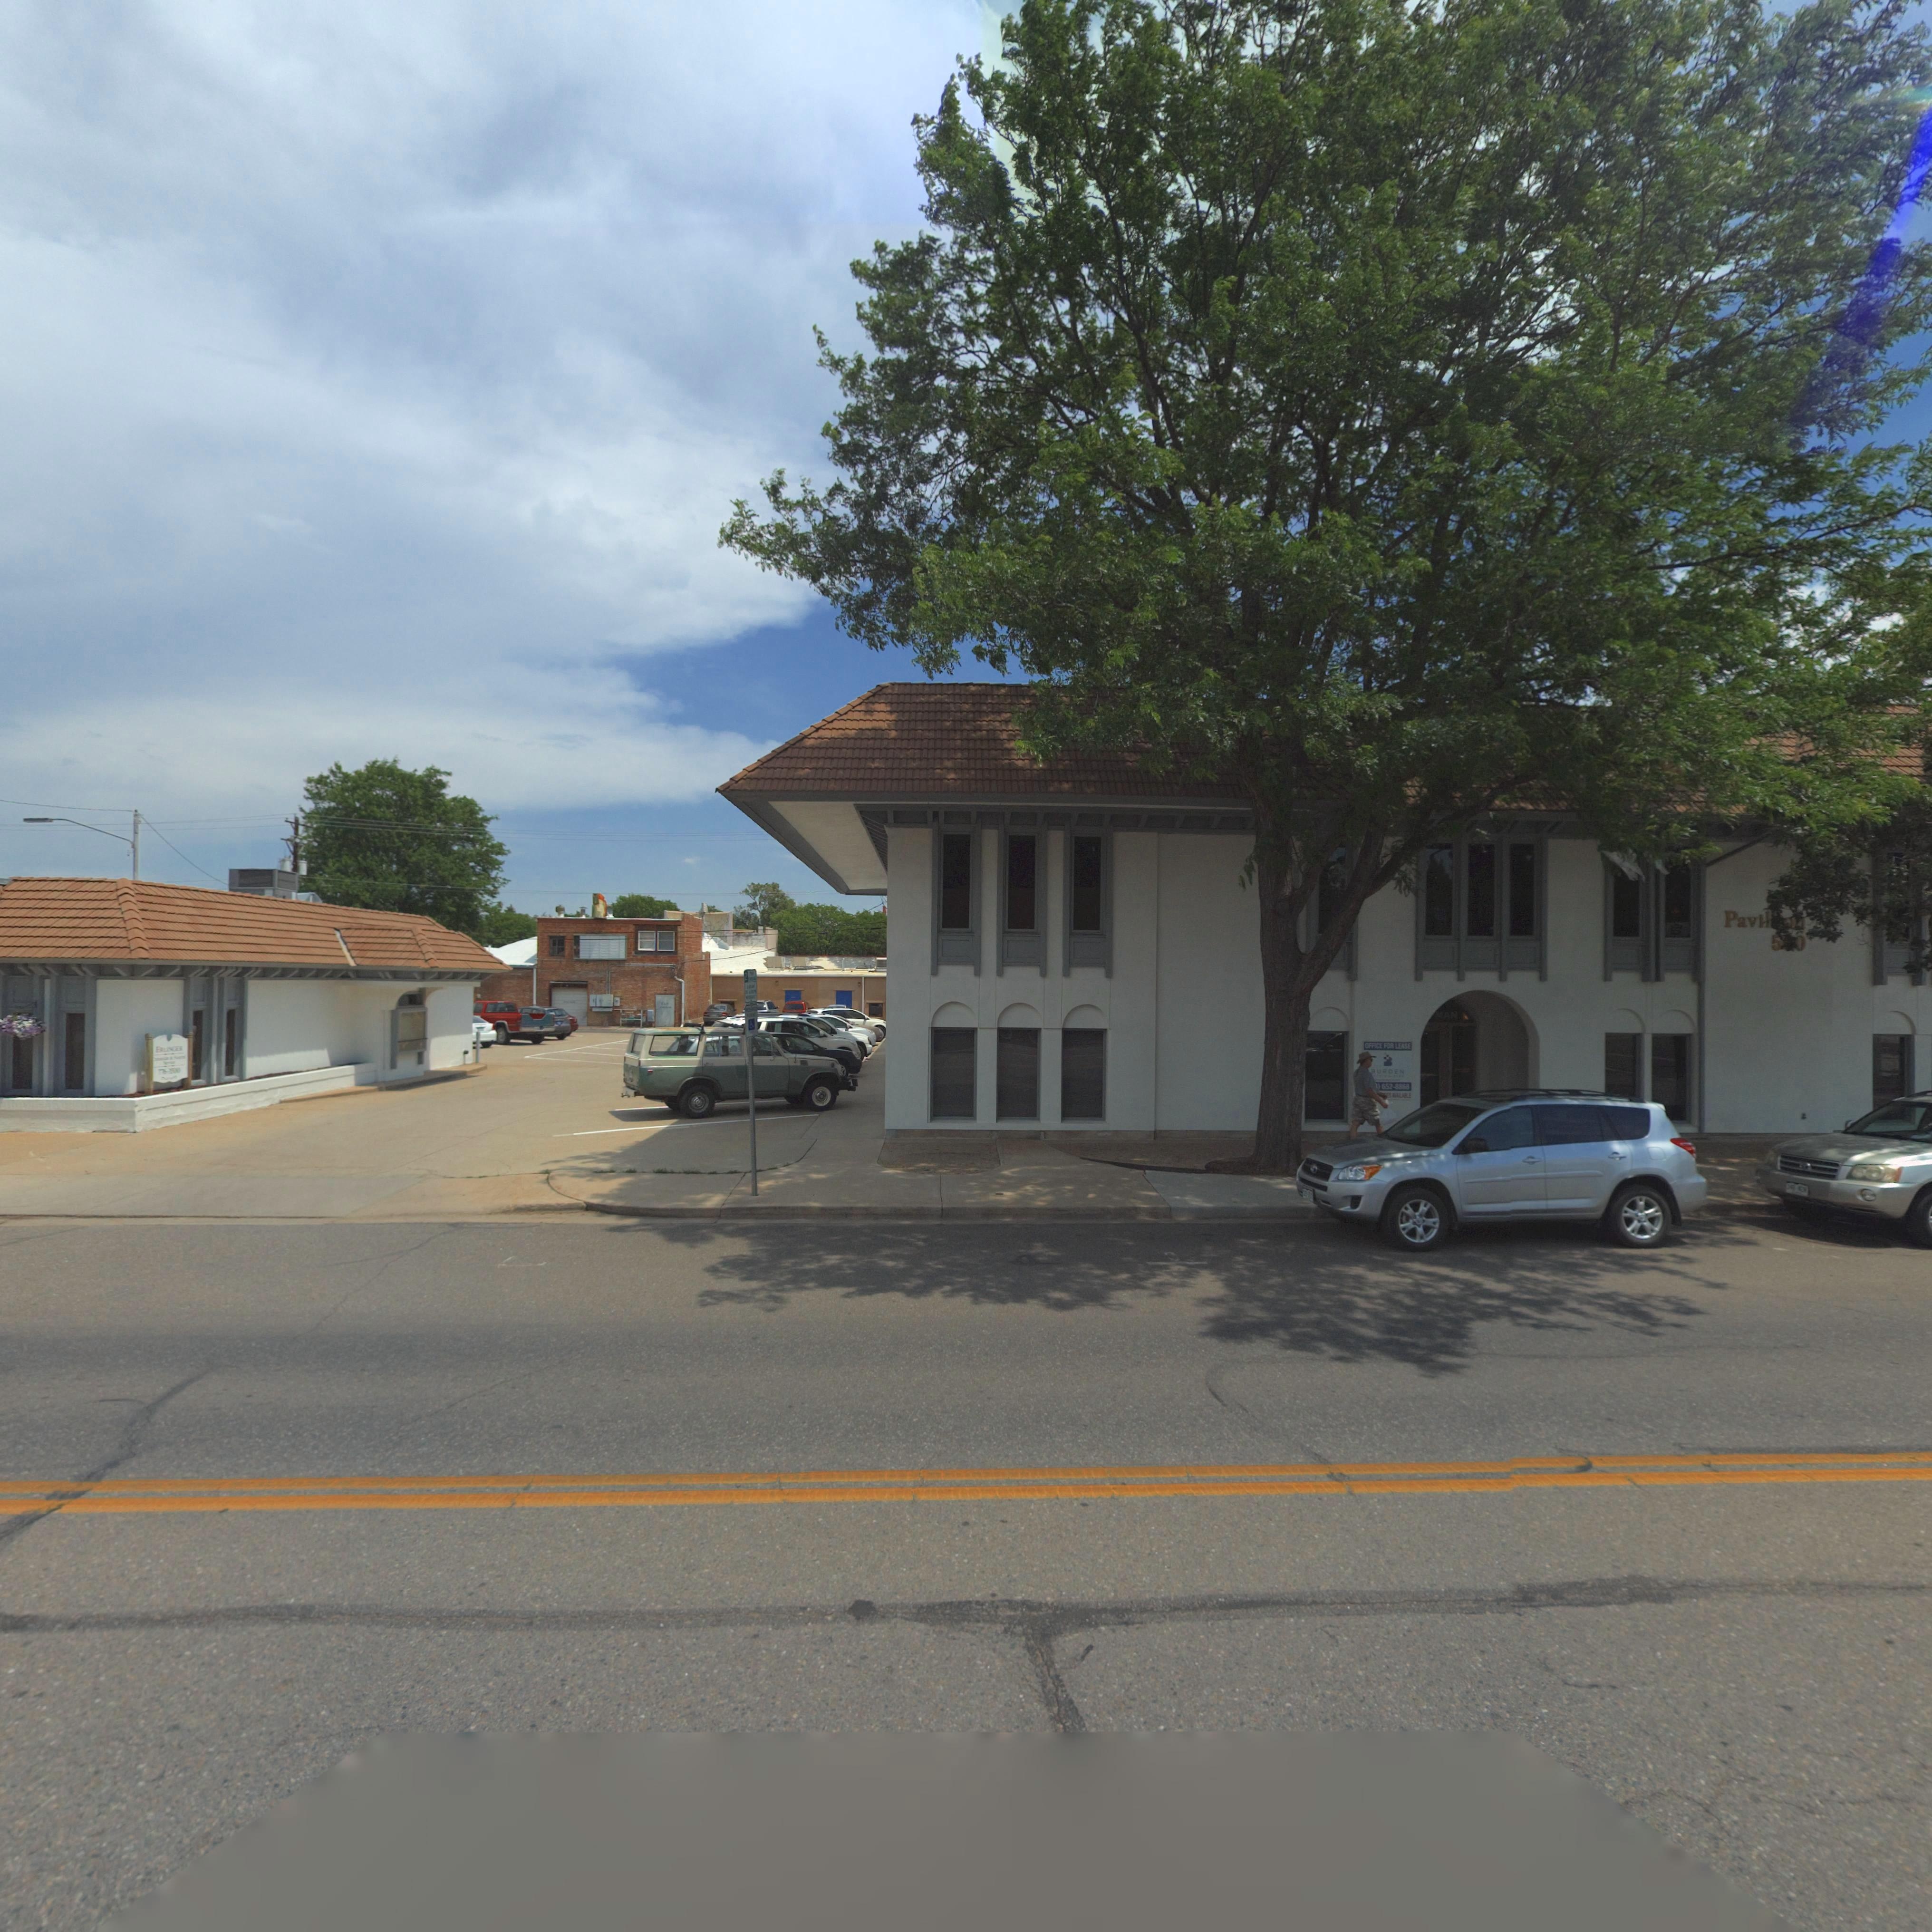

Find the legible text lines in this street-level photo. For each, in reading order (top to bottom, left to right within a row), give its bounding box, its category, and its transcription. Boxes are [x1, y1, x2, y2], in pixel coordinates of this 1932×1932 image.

[1771, 935, 1805, 951] StreetNumber: 5*0
[156, 1046, 183, 1053] BusinessName: ERLINGER